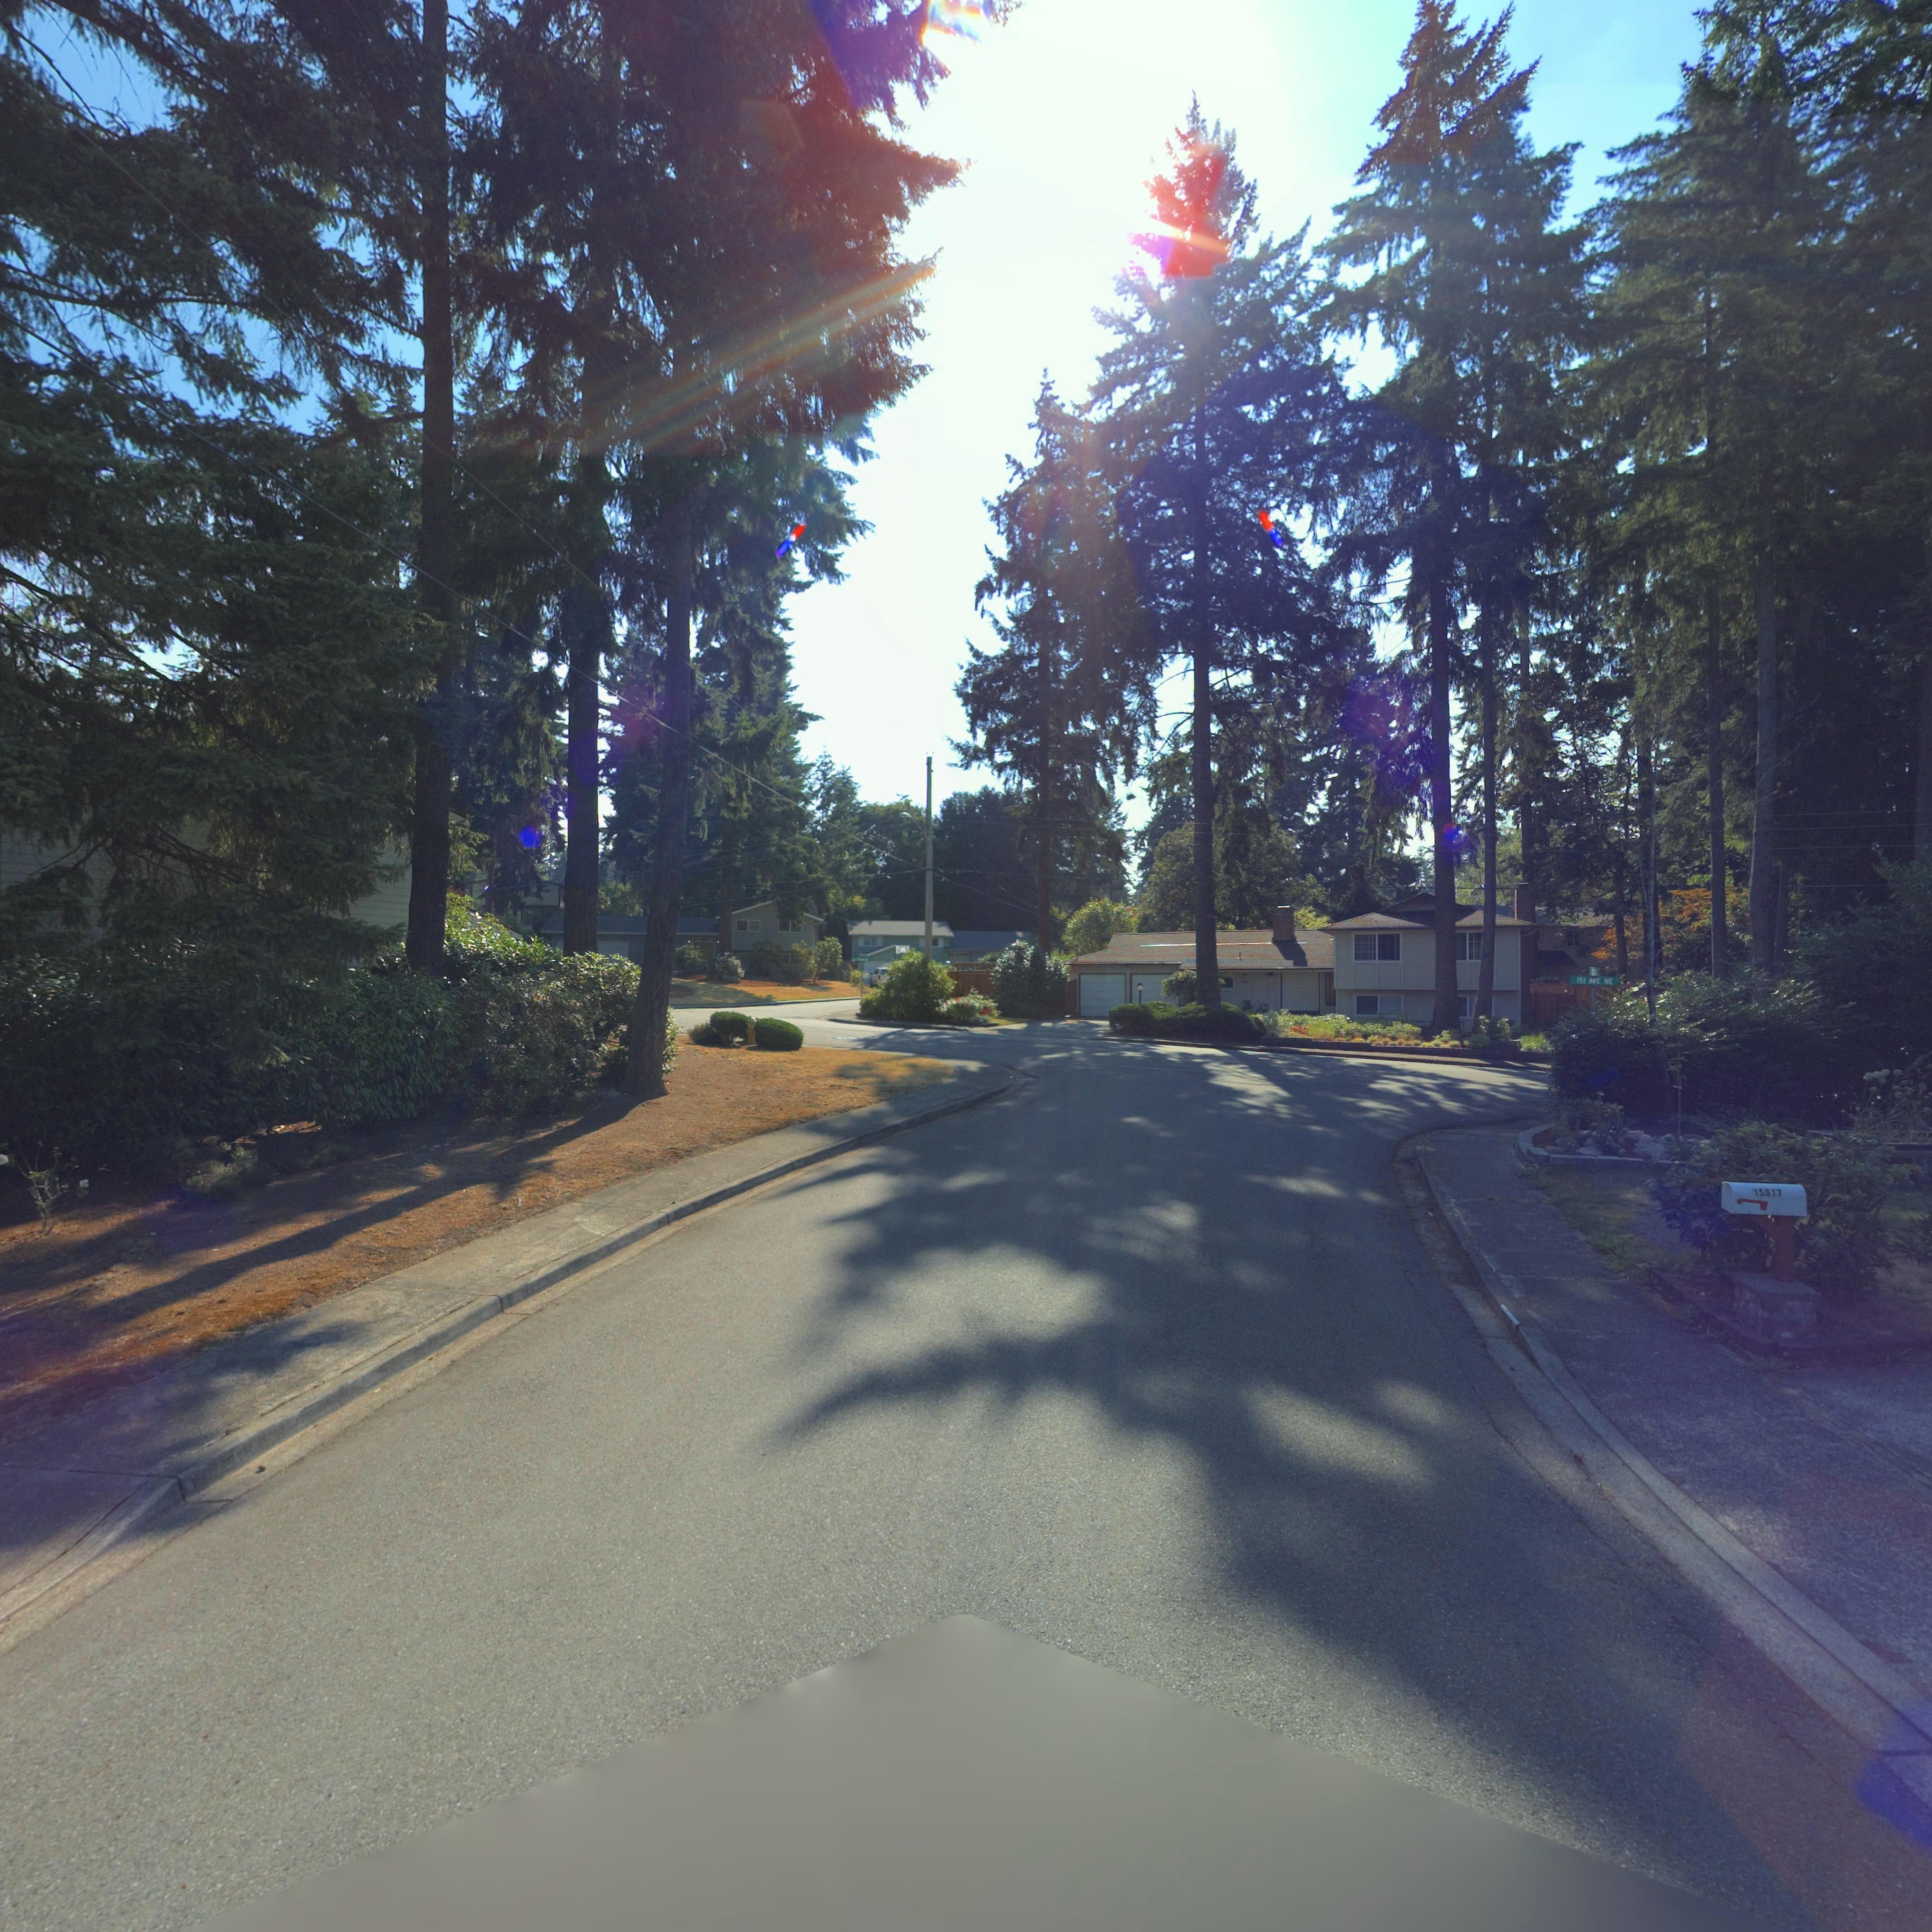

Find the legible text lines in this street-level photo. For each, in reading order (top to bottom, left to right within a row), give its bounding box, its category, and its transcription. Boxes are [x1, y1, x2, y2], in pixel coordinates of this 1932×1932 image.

[1577, 977, 1613, 984] StreetName: 151 AVE NE
[1752, 1187, 1782, 1198] StreetNumber: 15017